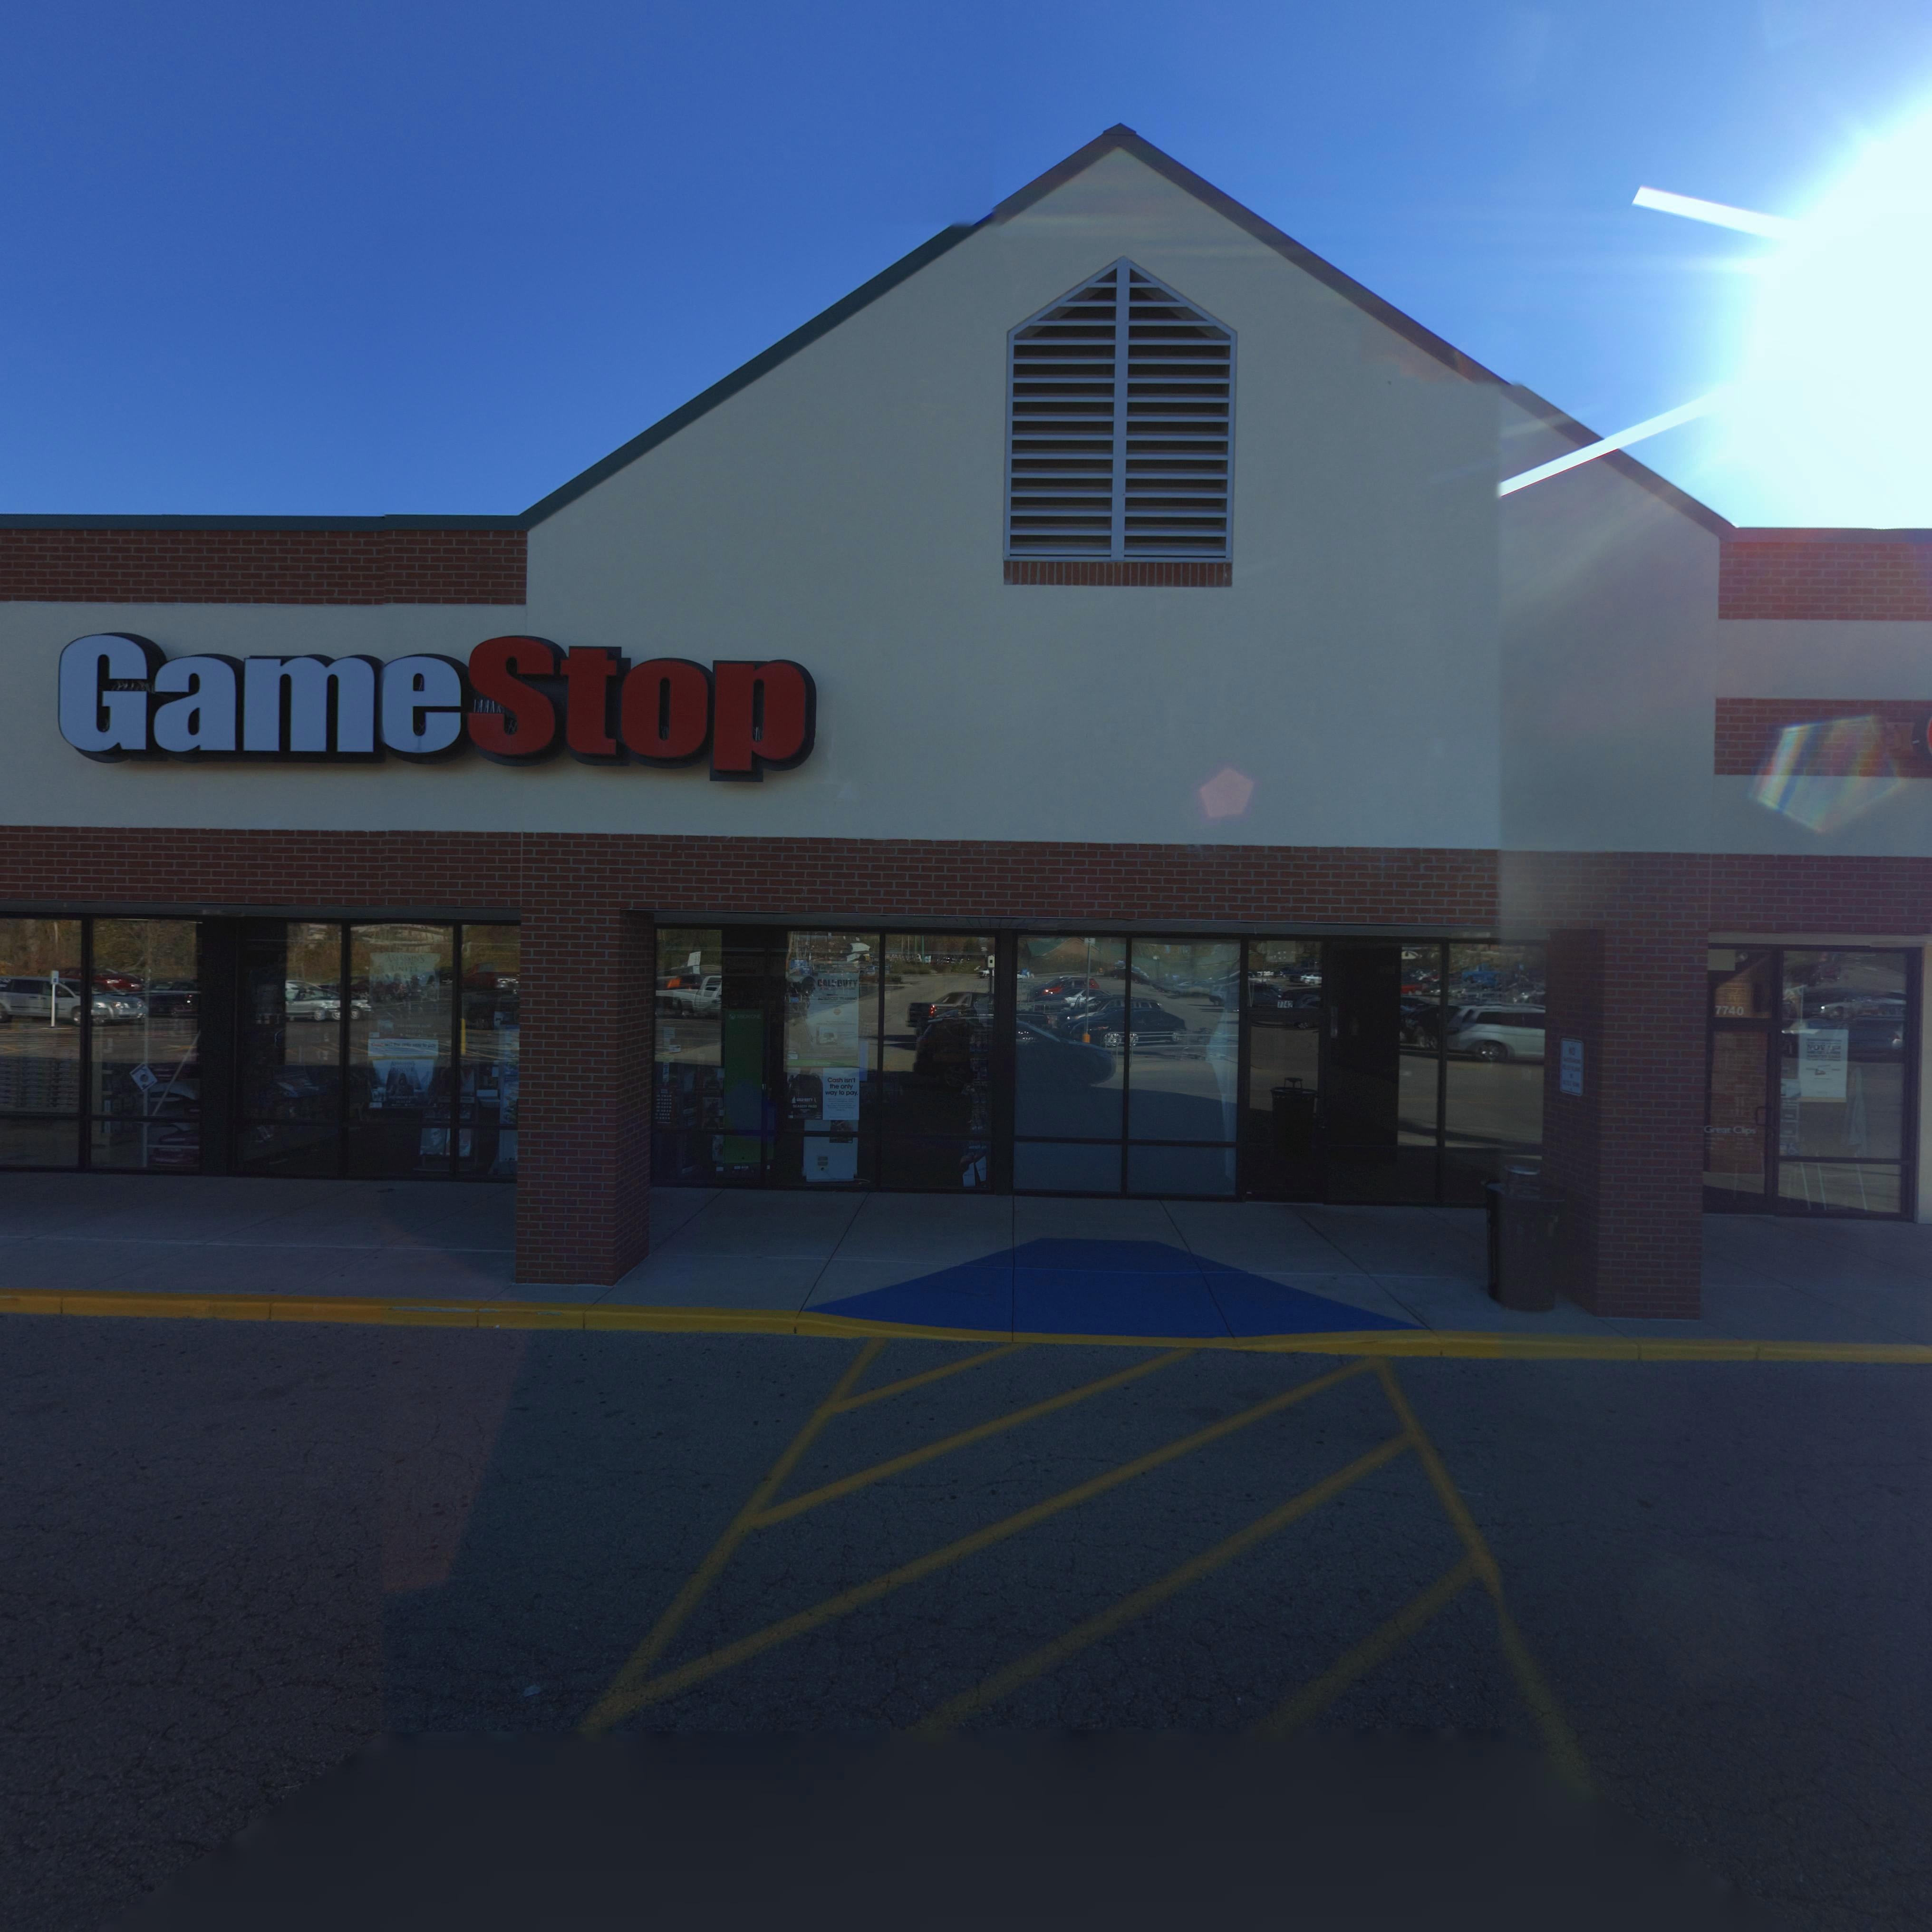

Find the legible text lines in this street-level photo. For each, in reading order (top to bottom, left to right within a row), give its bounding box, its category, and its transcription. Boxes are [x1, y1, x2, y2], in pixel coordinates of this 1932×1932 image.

[56, 631, 812, 775] BusinessName: GameStop
[1277, 1000, 1293, 1009] StreetNumber: 7742
[1715, 1005, 1745, 1016] StreetNumber: 7740
[1703, 1124, 1756, 1136] None: Great Clips